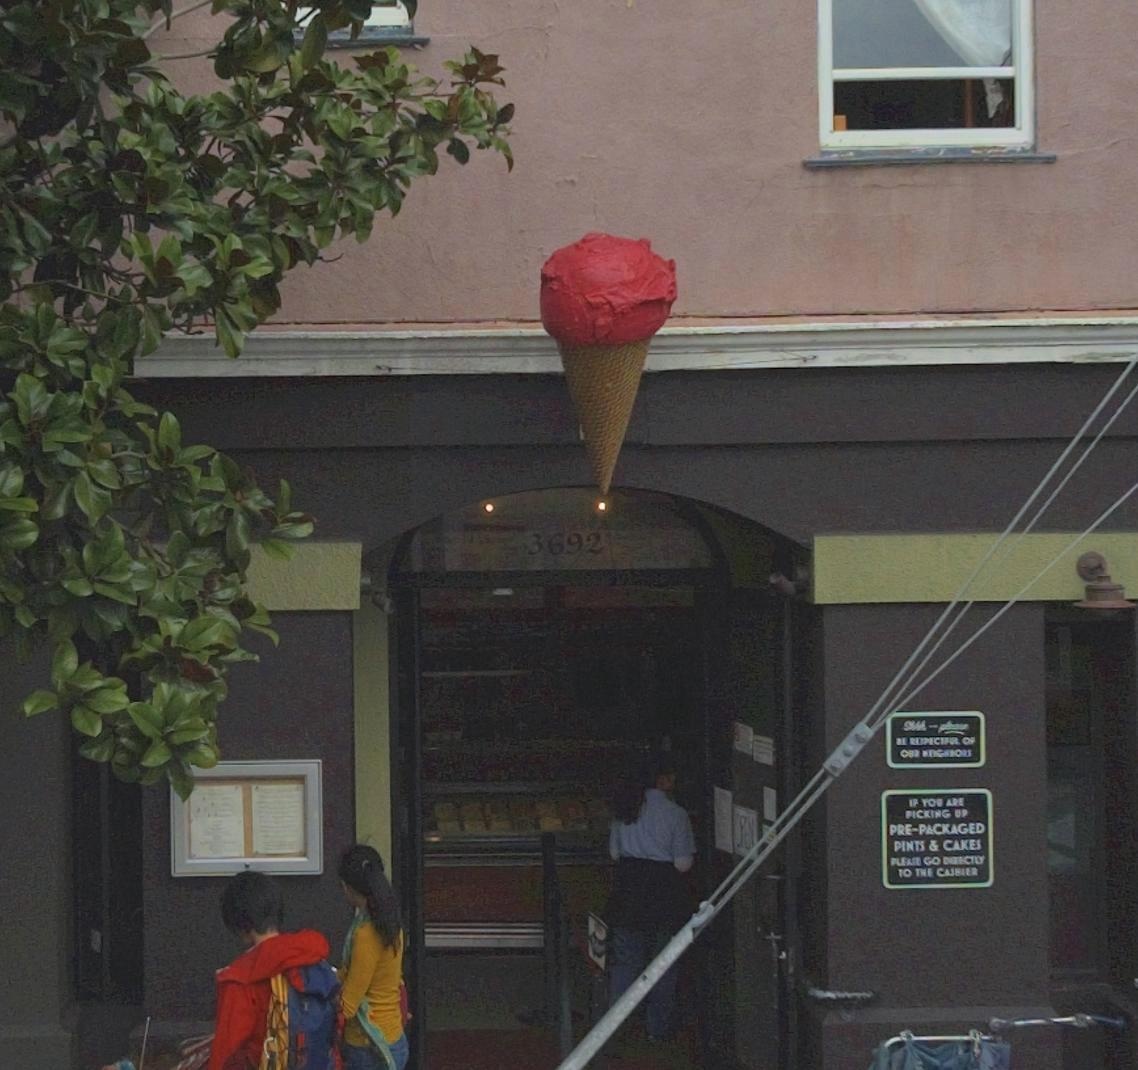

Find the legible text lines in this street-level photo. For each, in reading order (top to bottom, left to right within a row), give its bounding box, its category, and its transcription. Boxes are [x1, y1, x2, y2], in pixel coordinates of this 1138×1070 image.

[526, 532, 607, 556] StreetNumber: 3692
[894, 735, 977, 747] None: BE RESPECTFUL OF
[898, 748, 973, 759] None: OUR NEIGHBORS
[906, 797, 966, 808] None: IF YOU ARE
[903, 808, 970, 820] None: PICKING UP
[887, 821, 986, 837] None: PRE-PACKAGED
[893, 838, 983, 853] None: PINTS & CAKES
[888, 853, 987, 868] None: PLEASE GO DIRECTLY
[895, 866, 979, 879] None: TO THE CASHIER